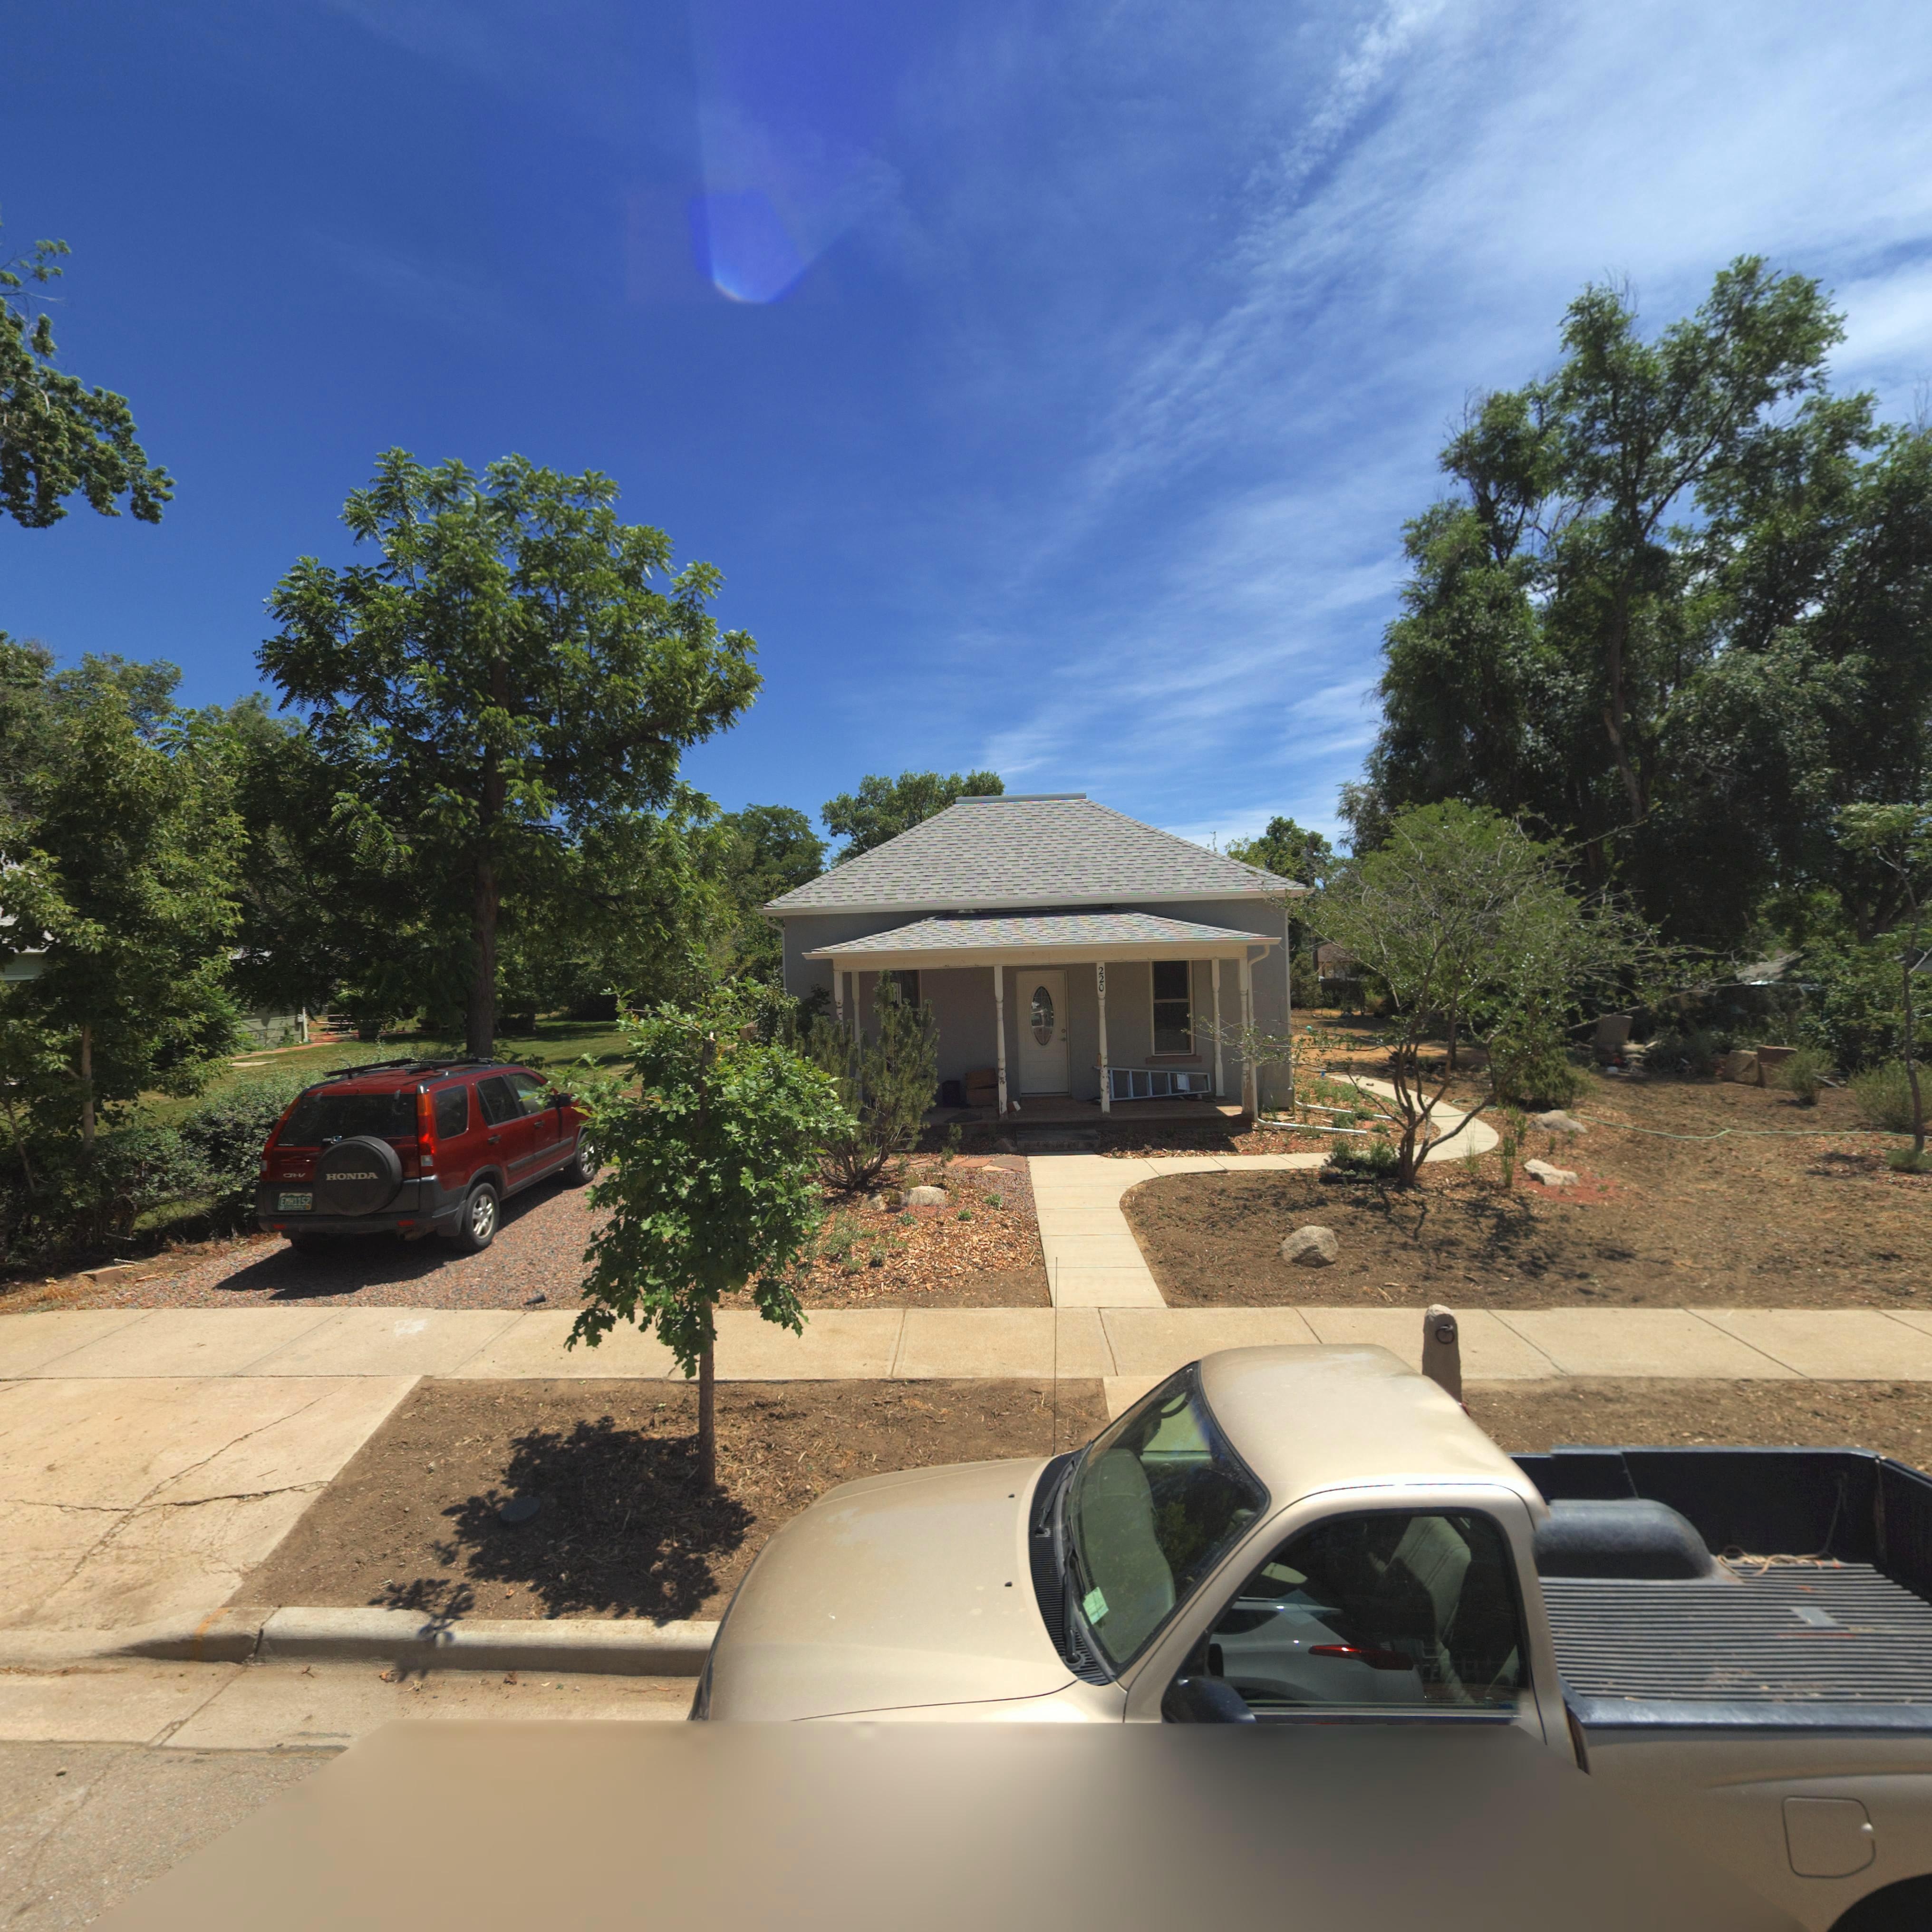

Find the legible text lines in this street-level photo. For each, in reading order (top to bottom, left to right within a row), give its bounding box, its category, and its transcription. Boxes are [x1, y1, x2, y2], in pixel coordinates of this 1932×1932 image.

[1098, 966, 1104, 992] StreetNumber: 220